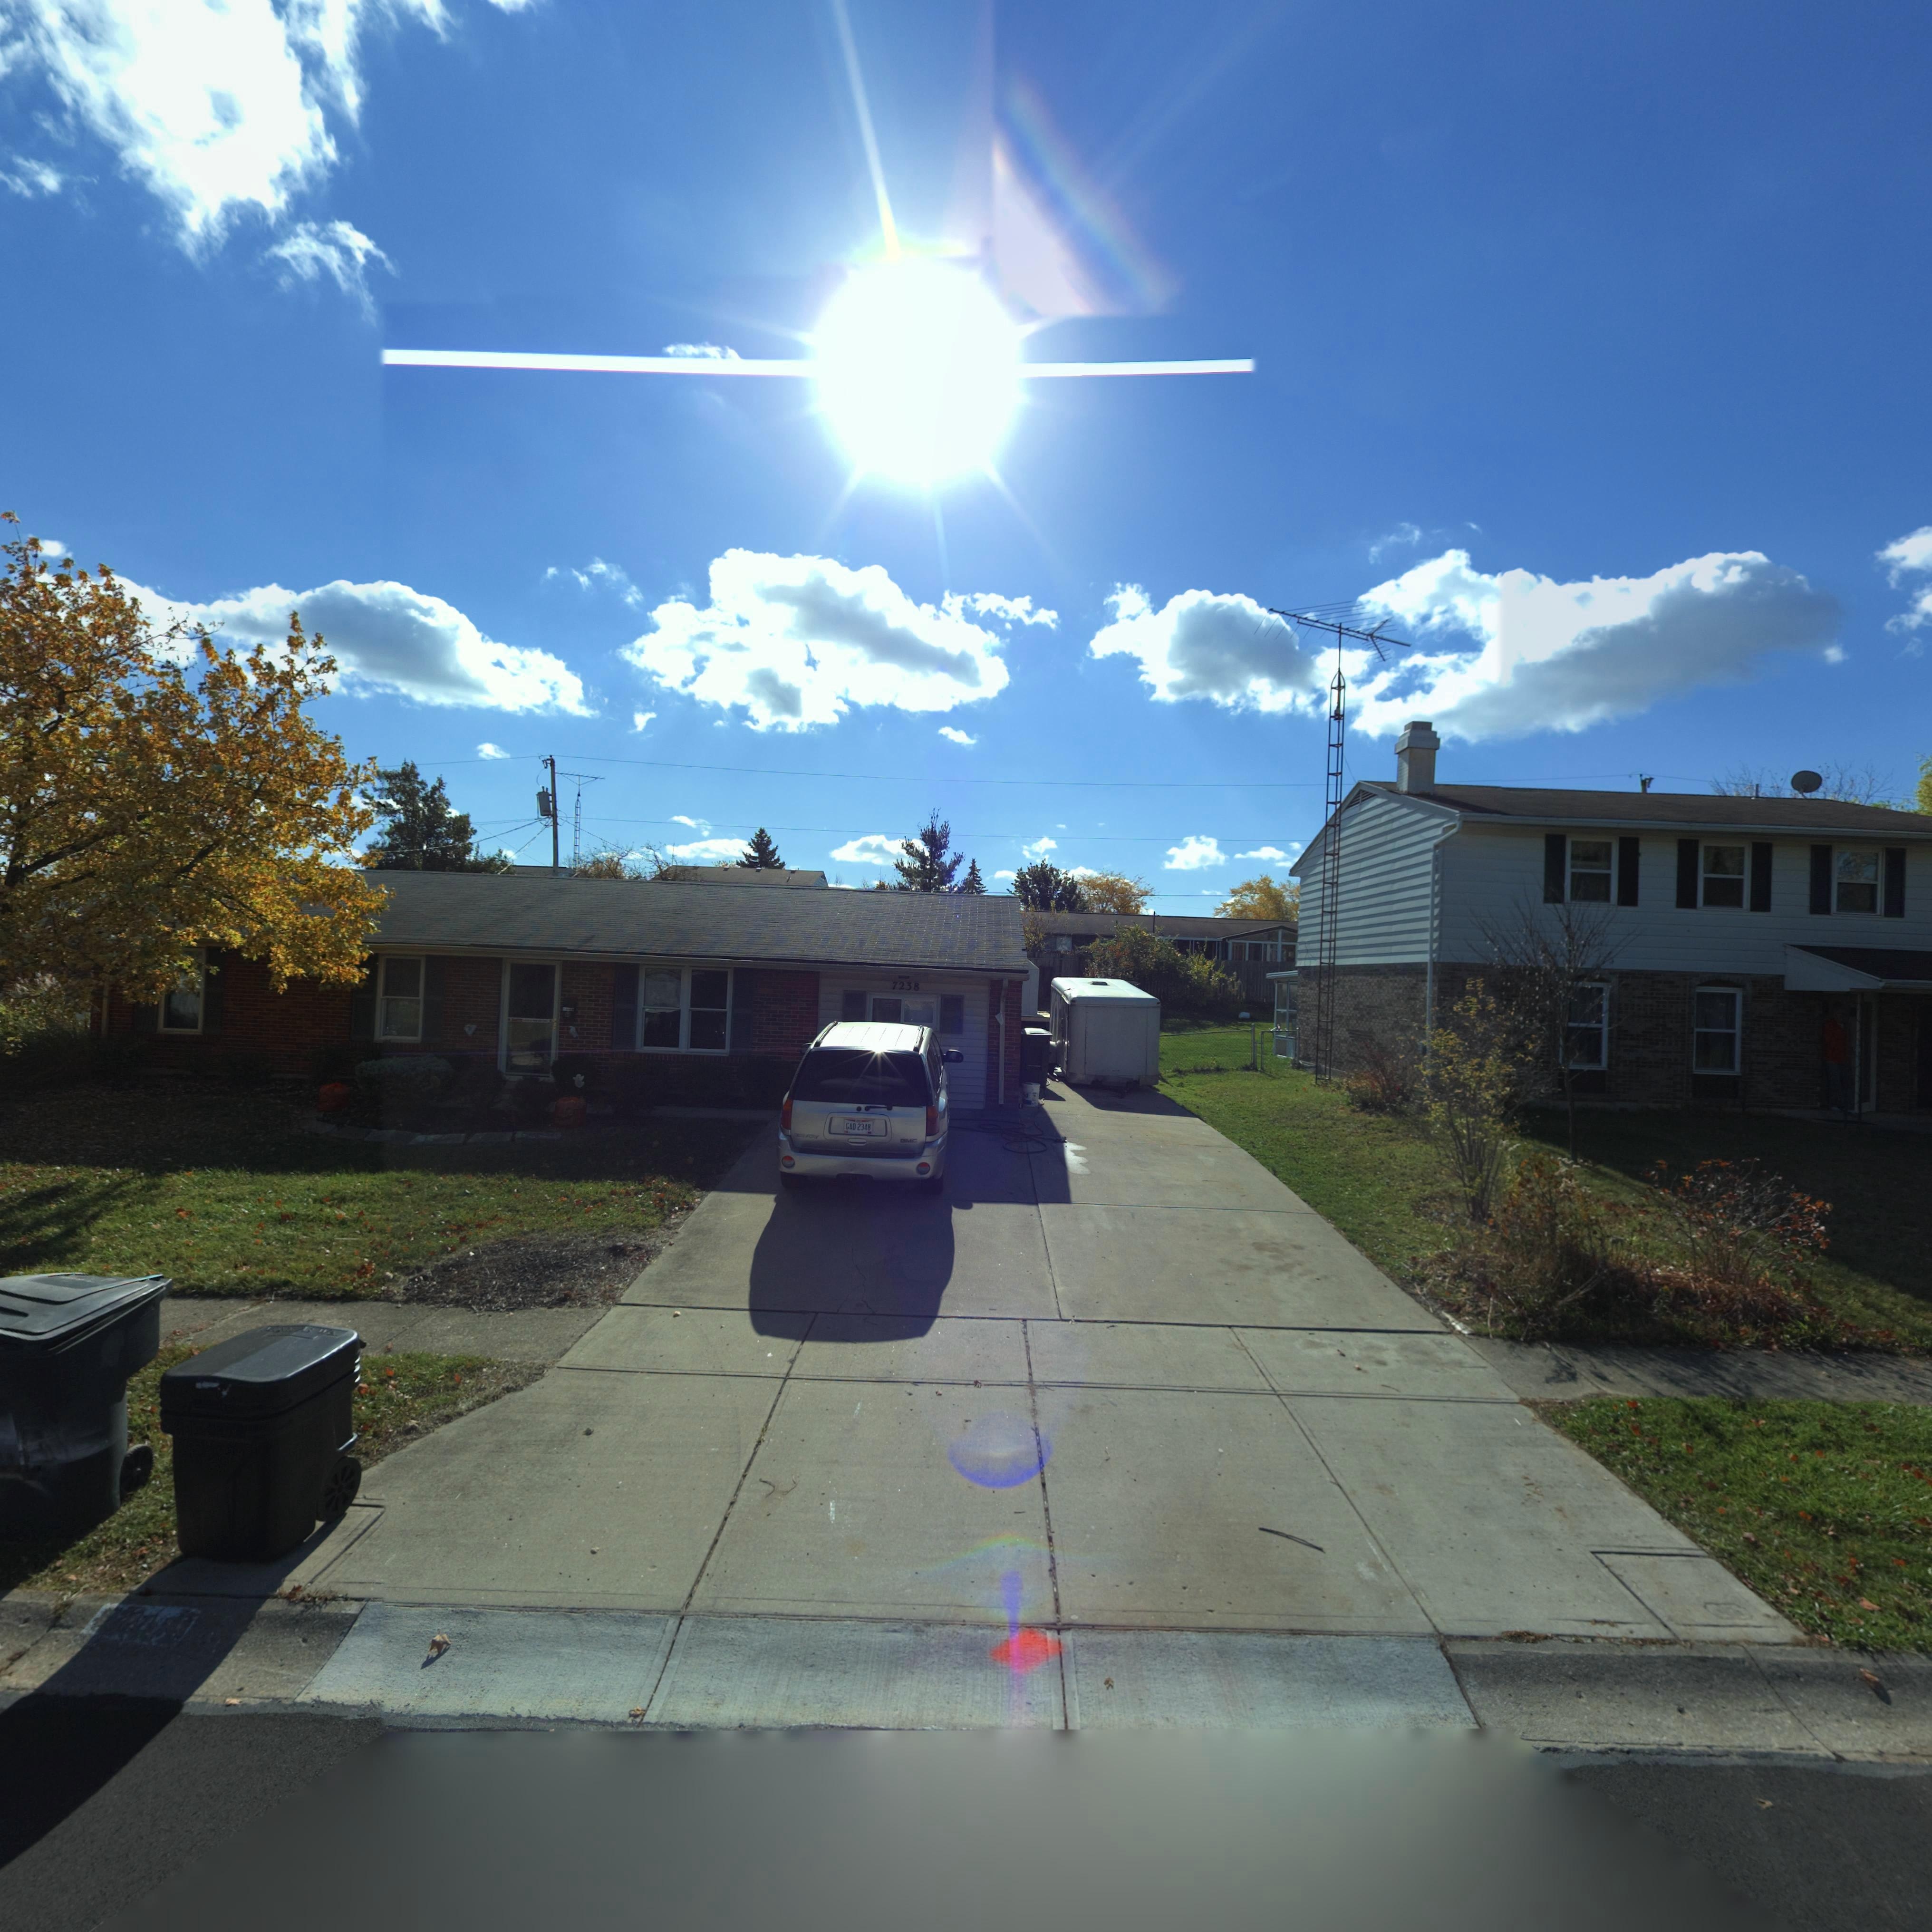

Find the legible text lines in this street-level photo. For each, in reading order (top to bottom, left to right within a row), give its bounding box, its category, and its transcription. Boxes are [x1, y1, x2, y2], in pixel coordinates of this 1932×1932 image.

[891, 981, 921, 992] StreetNumber: 7238